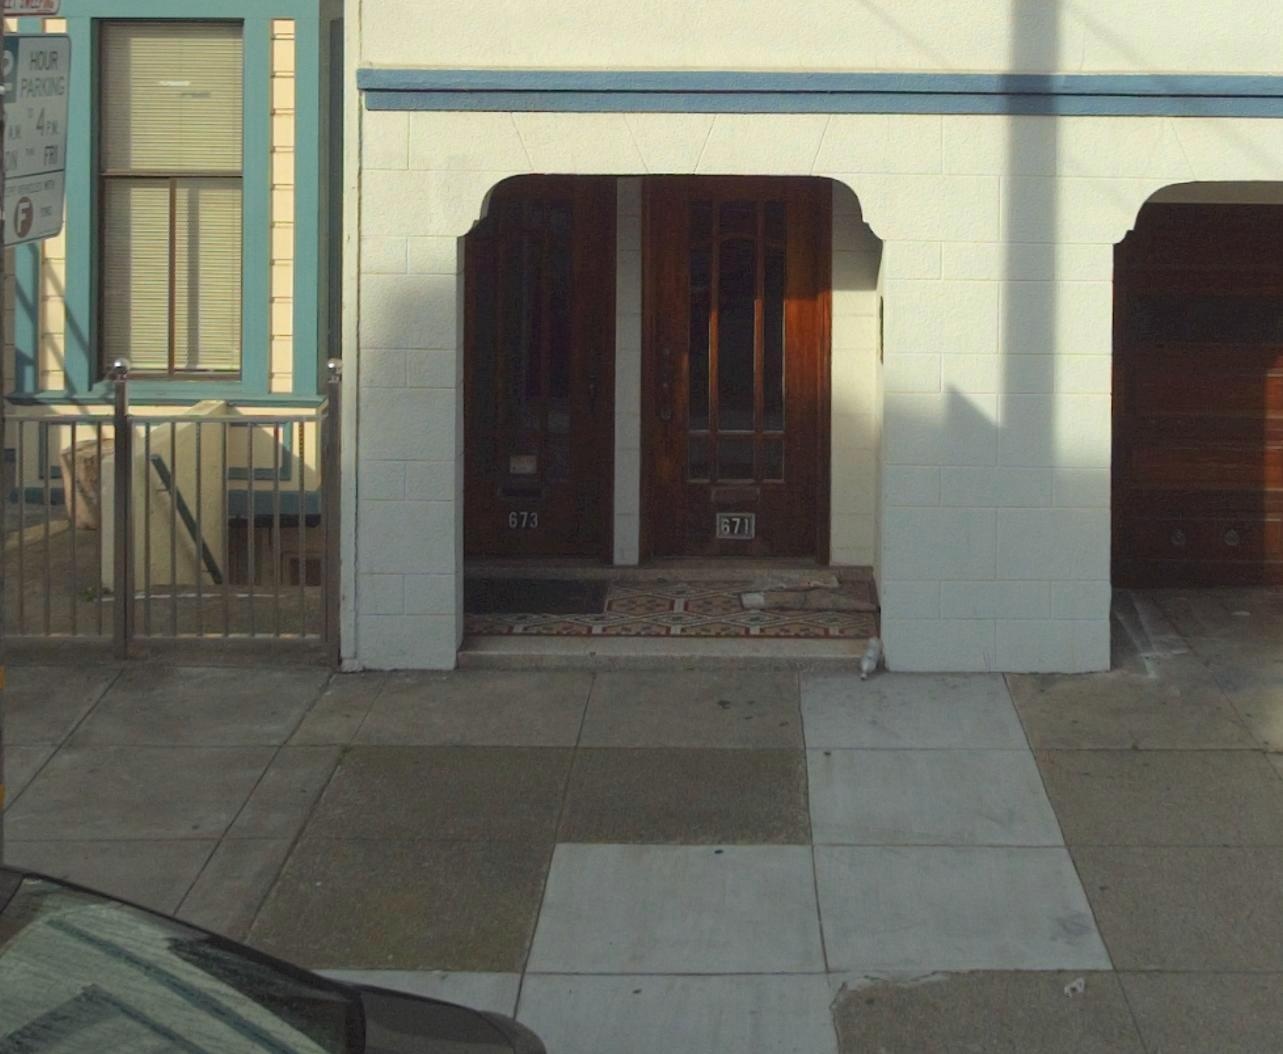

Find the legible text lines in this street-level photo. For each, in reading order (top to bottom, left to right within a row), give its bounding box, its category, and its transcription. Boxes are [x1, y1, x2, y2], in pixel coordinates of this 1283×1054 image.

[25, 46, 61, 74] None: HOUR
[17, 72, 67, 101] None: PARKING
[13, 197, 33, 235] None: F
[507, 509, 540, 530] StreetNumber: 673
[718, 515, 751, 538] StreetNumber: 671